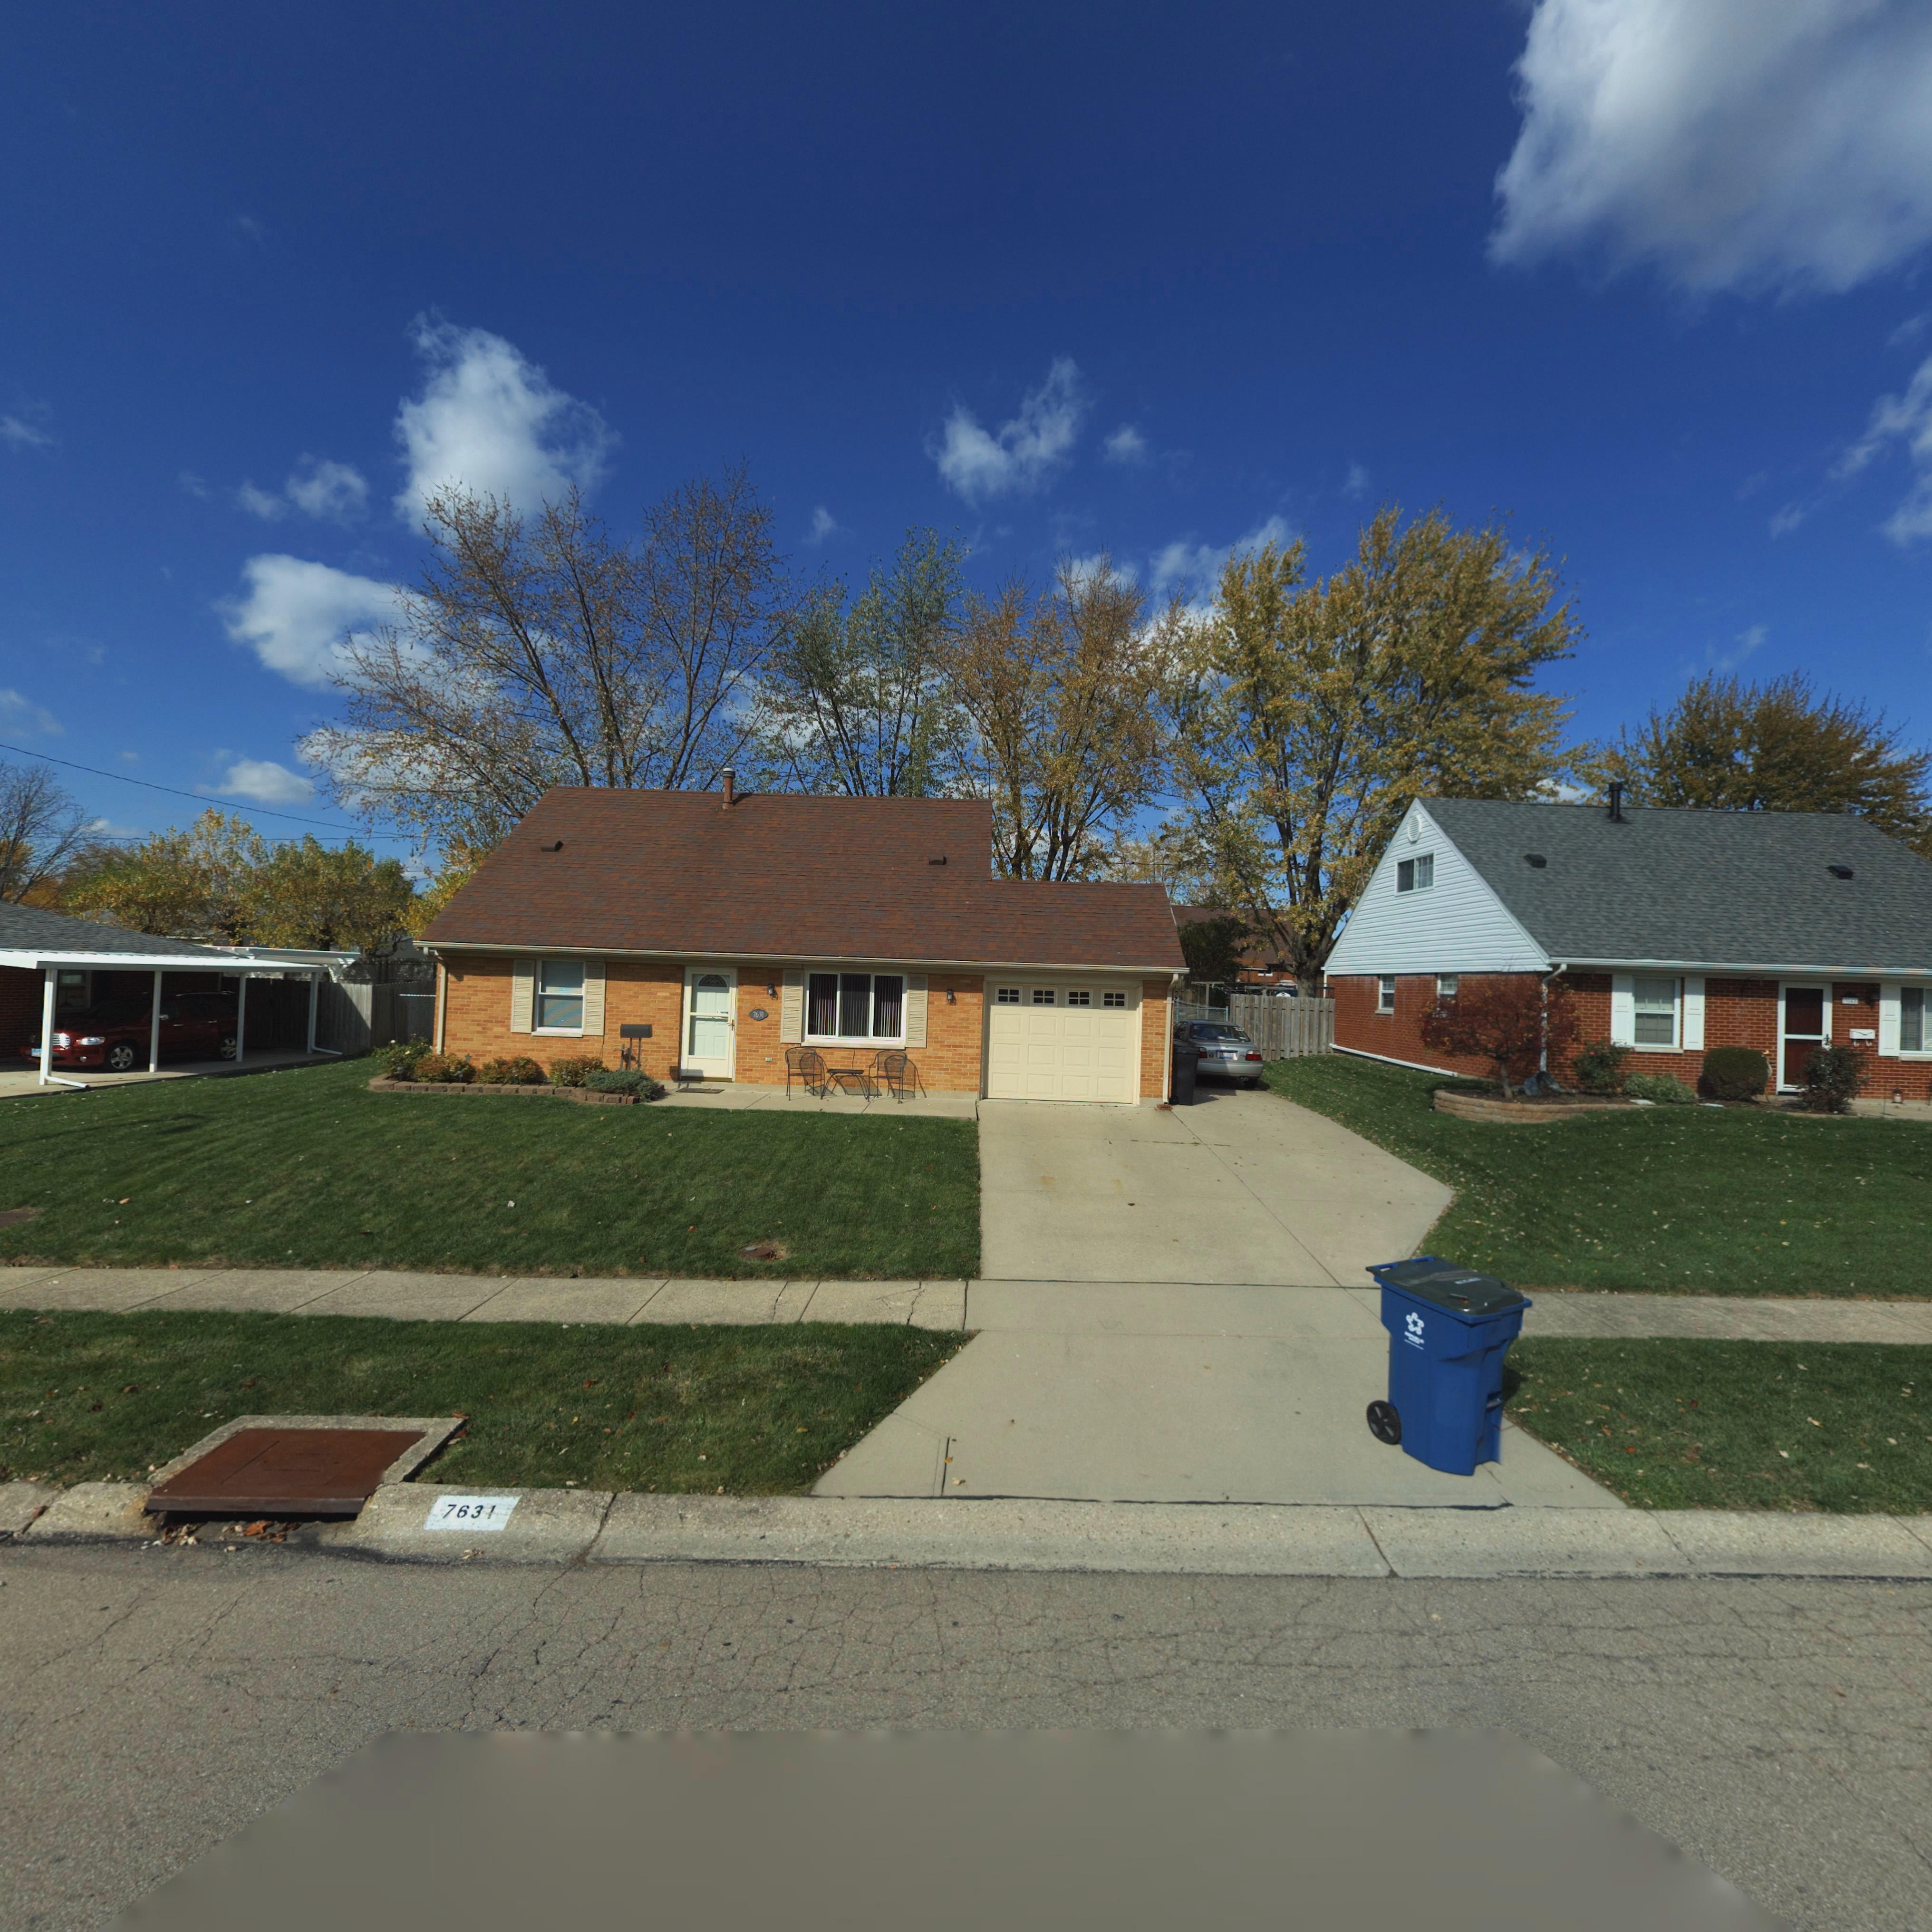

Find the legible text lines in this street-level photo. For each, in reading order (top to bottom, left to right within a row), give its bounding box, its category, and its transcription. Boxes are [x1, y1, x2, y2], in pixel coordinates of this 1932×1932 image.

[1843, 997, 1858, 1004] StreetNumber: 7***
[752, 1011, 764, 1019] StreetNumber: 7631
[440, 1503, 498, 1520] StreetNumber: 7631